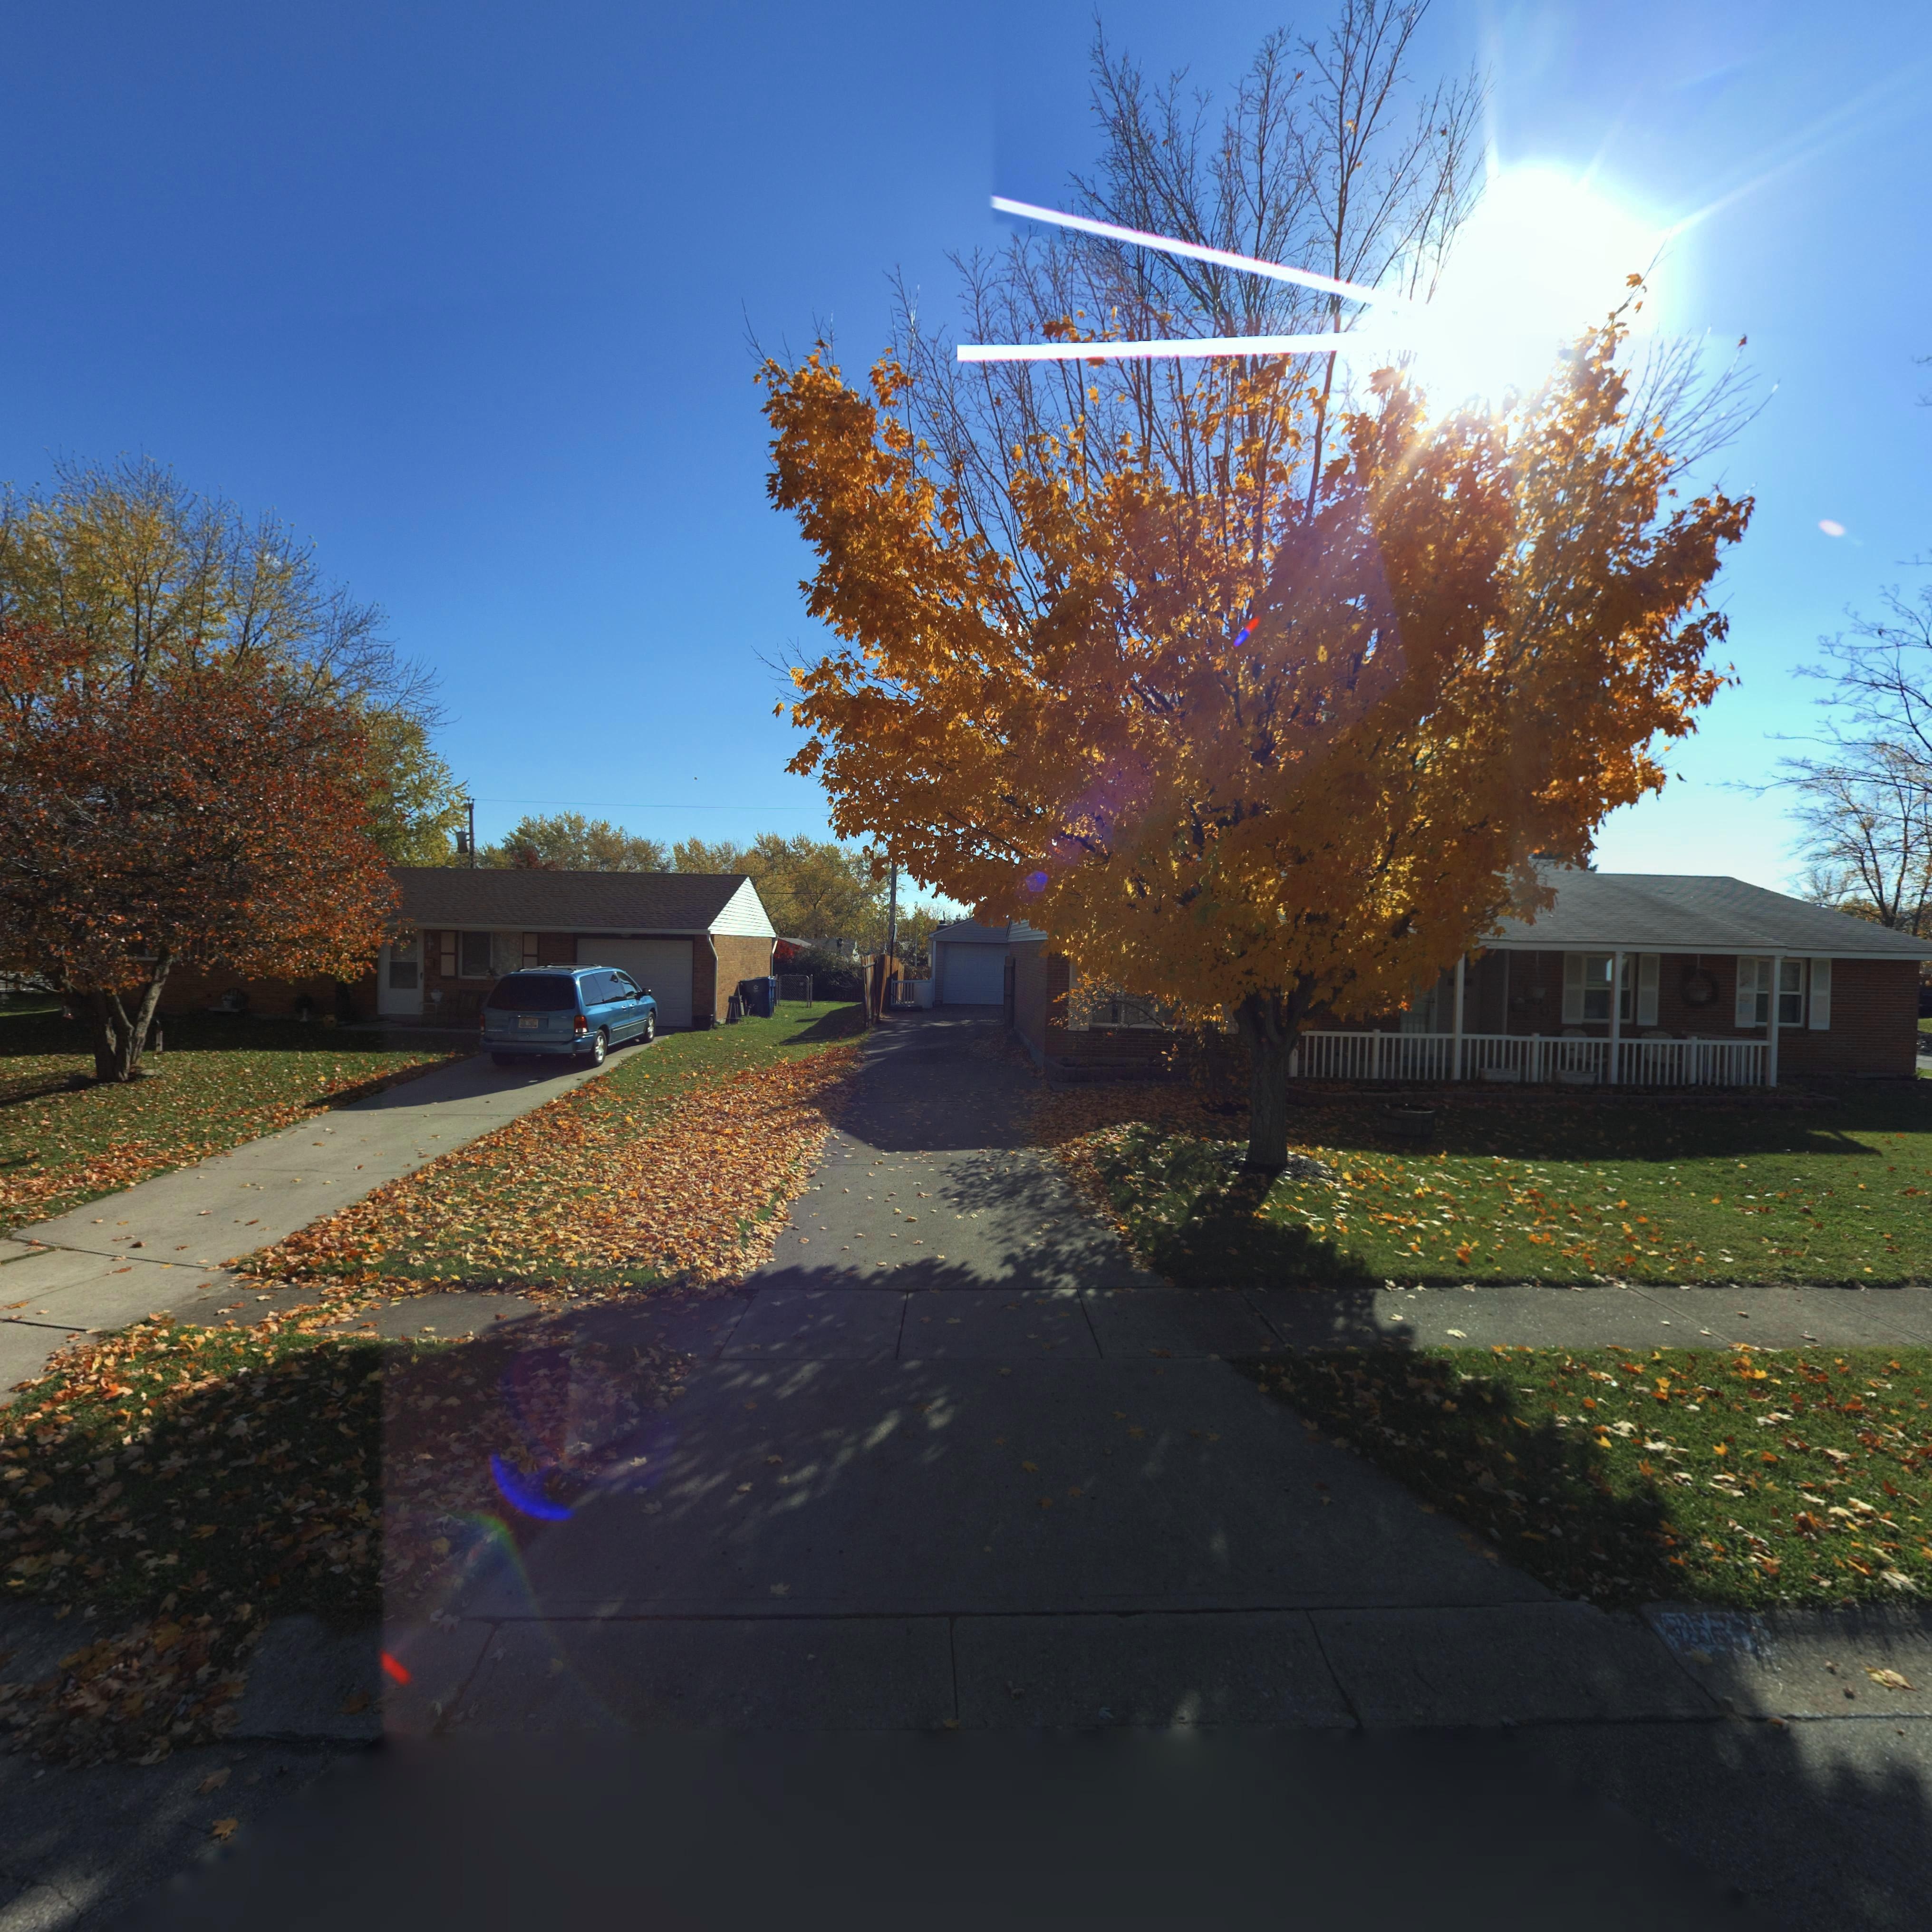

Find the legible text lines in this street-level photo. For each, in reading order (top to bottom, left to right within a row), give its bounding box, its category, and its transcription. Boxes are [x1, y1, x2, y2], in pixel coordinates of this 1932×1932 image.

[1515, 975, 1552, 1018] StreetNumber: 7**0